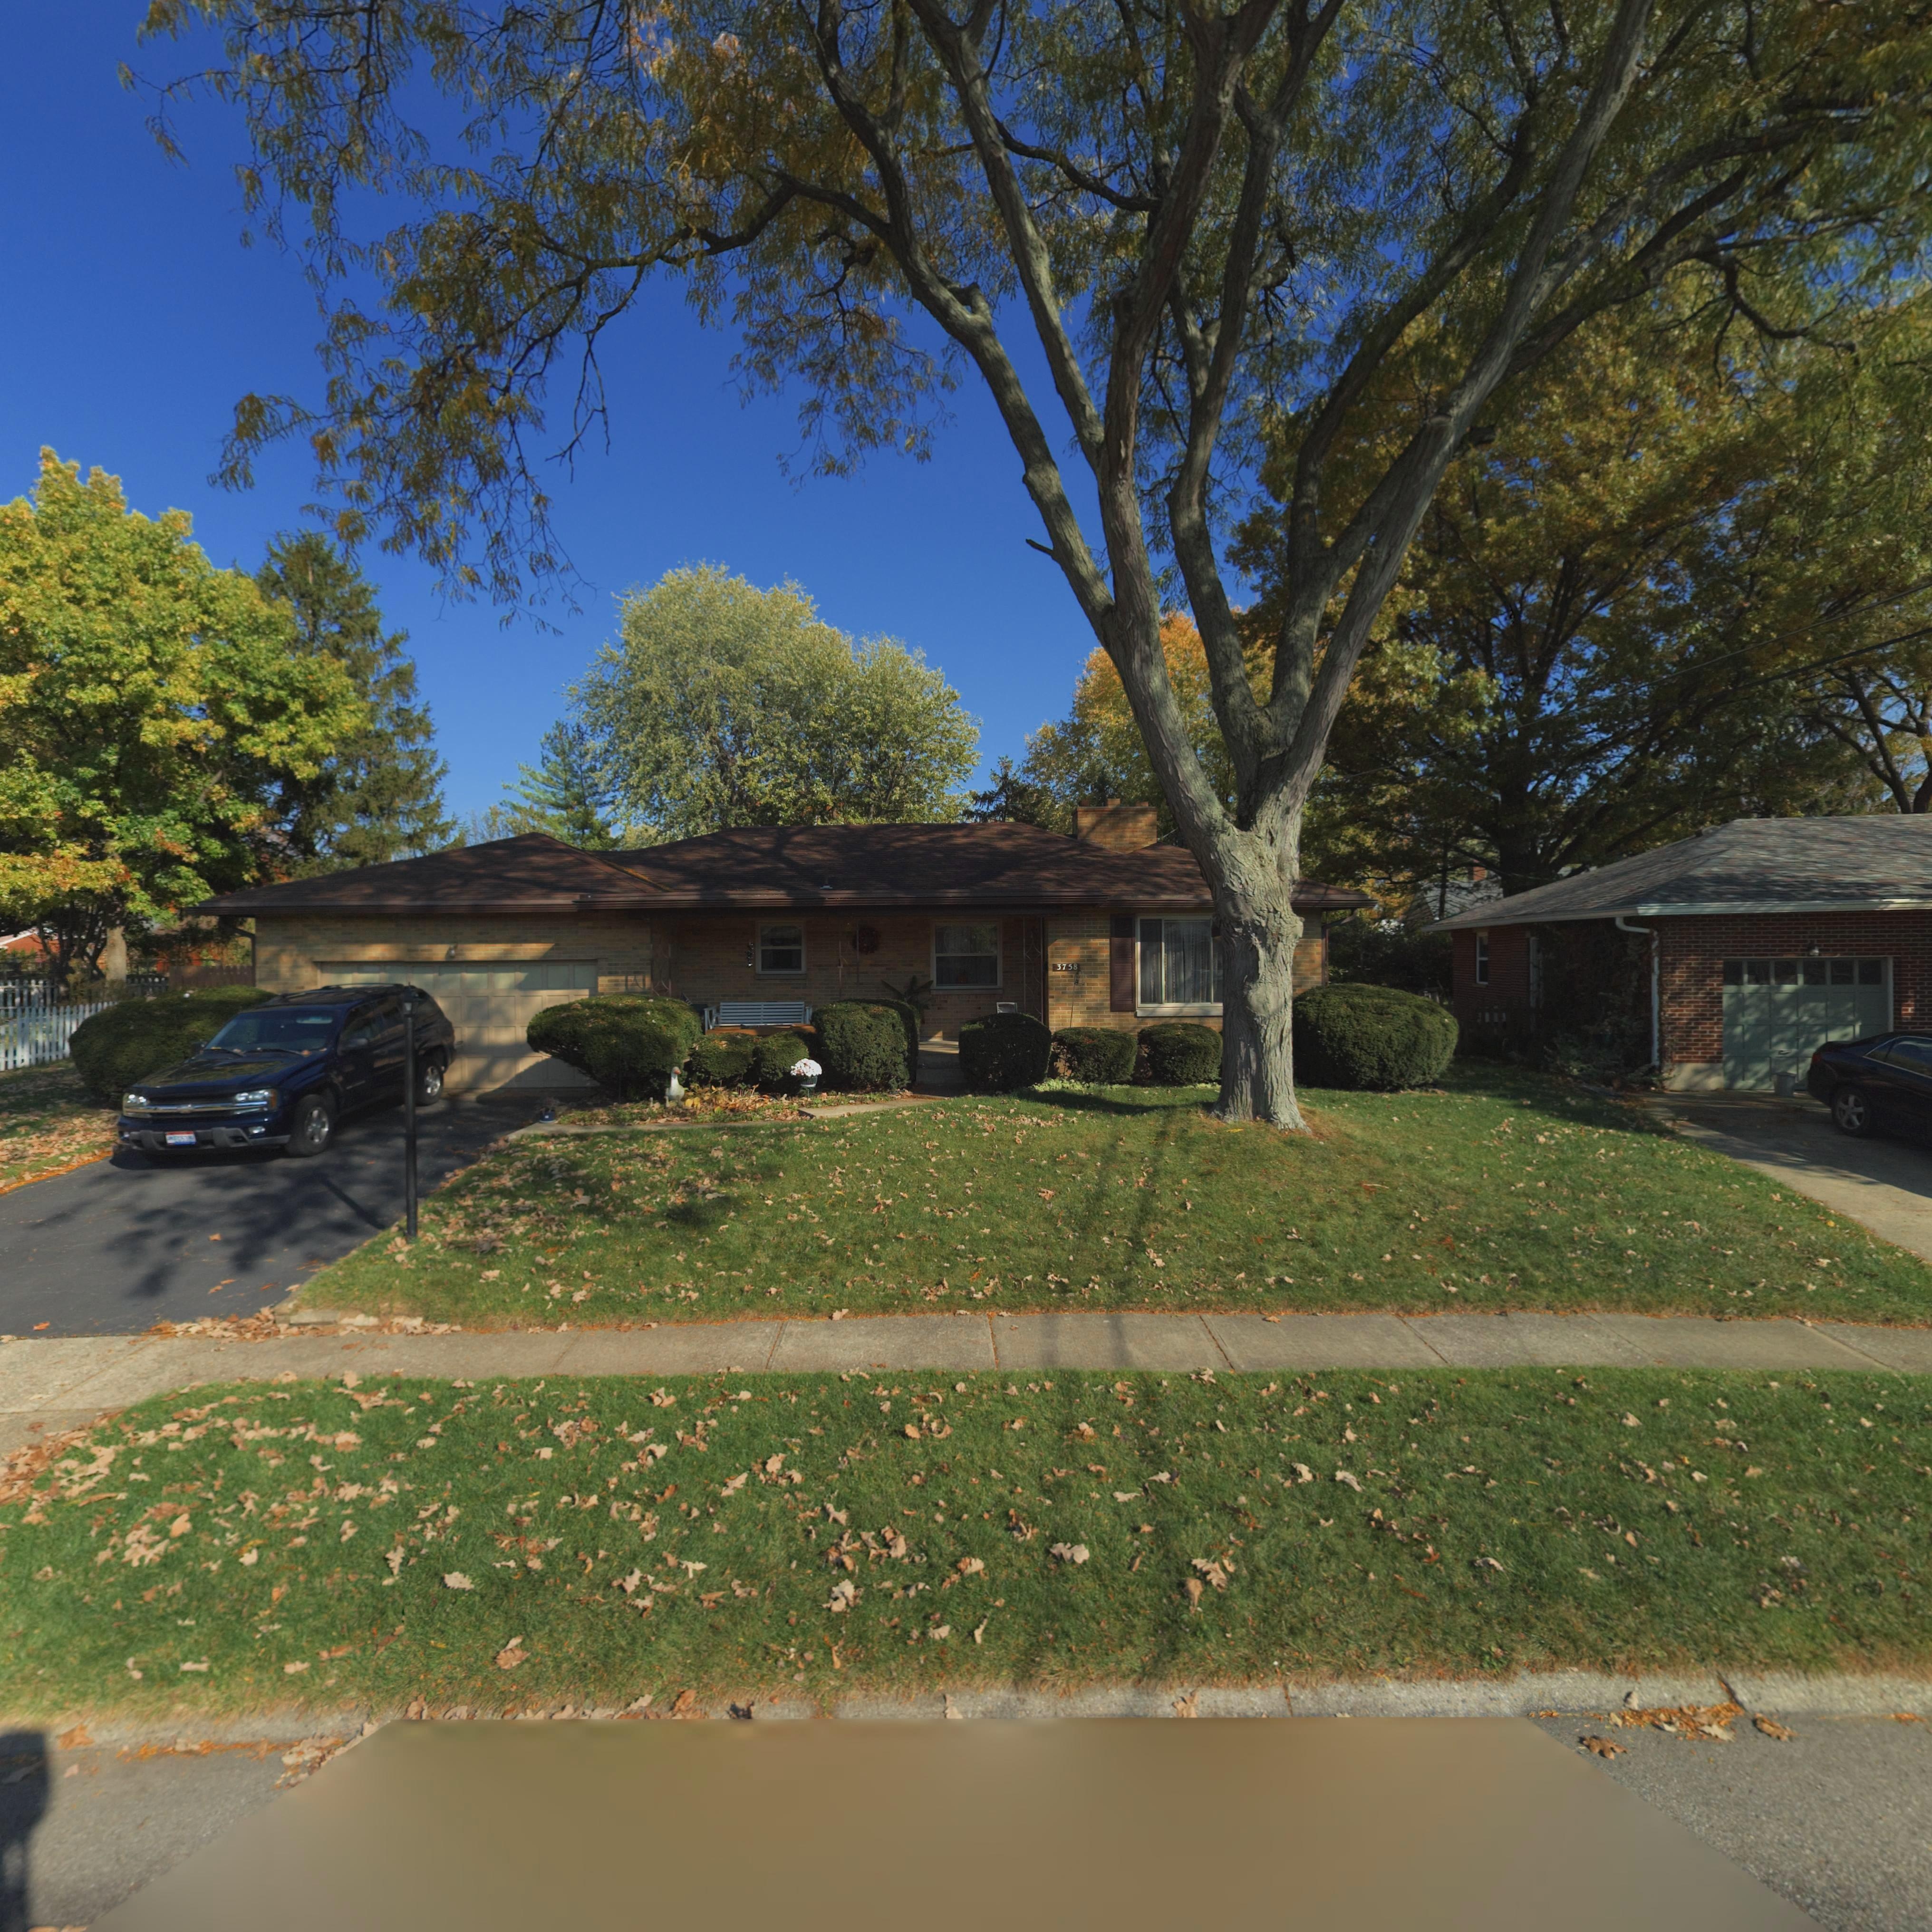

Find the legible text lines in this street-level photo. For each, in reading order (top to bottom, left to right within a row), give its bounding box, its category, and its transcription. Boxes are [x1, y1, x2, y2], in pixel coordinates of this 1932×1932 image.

[1056, 963, 1078, 971] StreetNumber: 3758